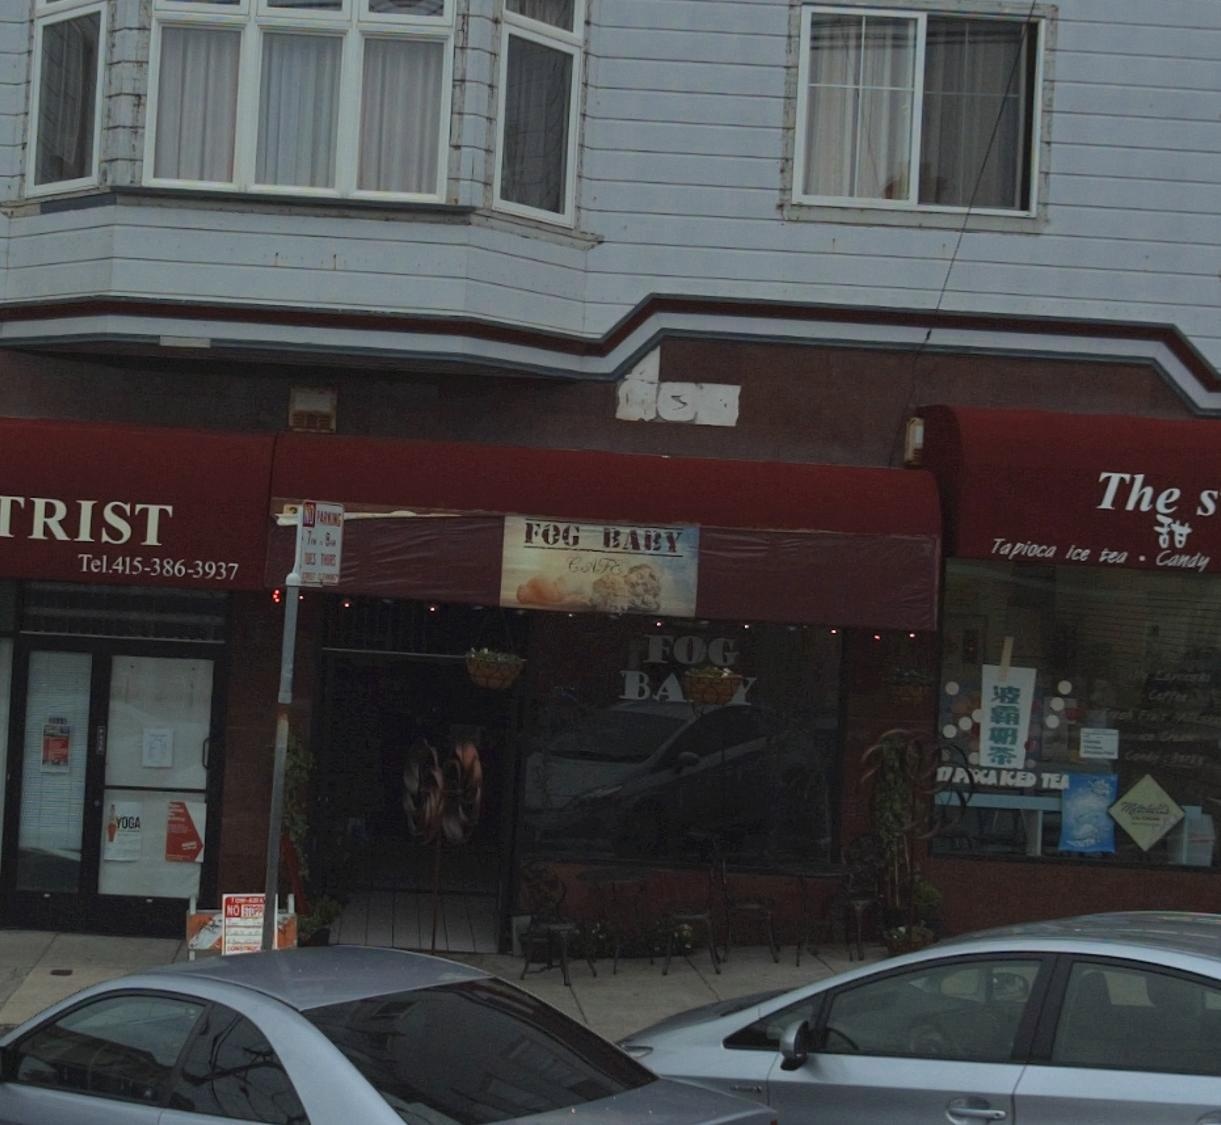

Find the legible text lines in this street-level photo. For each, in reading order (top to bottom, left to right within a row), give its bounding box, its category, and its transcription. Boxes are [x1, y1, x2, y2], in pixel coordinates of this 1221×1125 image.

[1092, 469, 1220, 519] BusinessName: The s
[22, 494, 180, 550] BusinessName: RIST
[302, 503, 342, 529] None: NO PARKING
[304, 528, 338, 551] None: 7** * 8**
[522, 520, 687, 555] BusinessName: FOG BABY
[73, 550, 243, 585] None: Tel.415-386-3937
[564, 553, 627, 577] BusinessName: CAFE
[988, 536, 1214, 575] None: Tapioca ice tea*Candy
[639, 632, 744, 671] BusinessName: FOG
[617, 669, 691, 704] BusinessName: BA
[1146, 687, 1191, 705] None: Coffee
[1126, 666, 1213, 687] None: illy Espresso
[96, 725, 105, 755] None: PULL
[977, 768, 1072, 792] None: CA ICED TEA
[115, 814, 141, 831] None: YOGA
[226, 903, 264, 918] None: NO STOPP